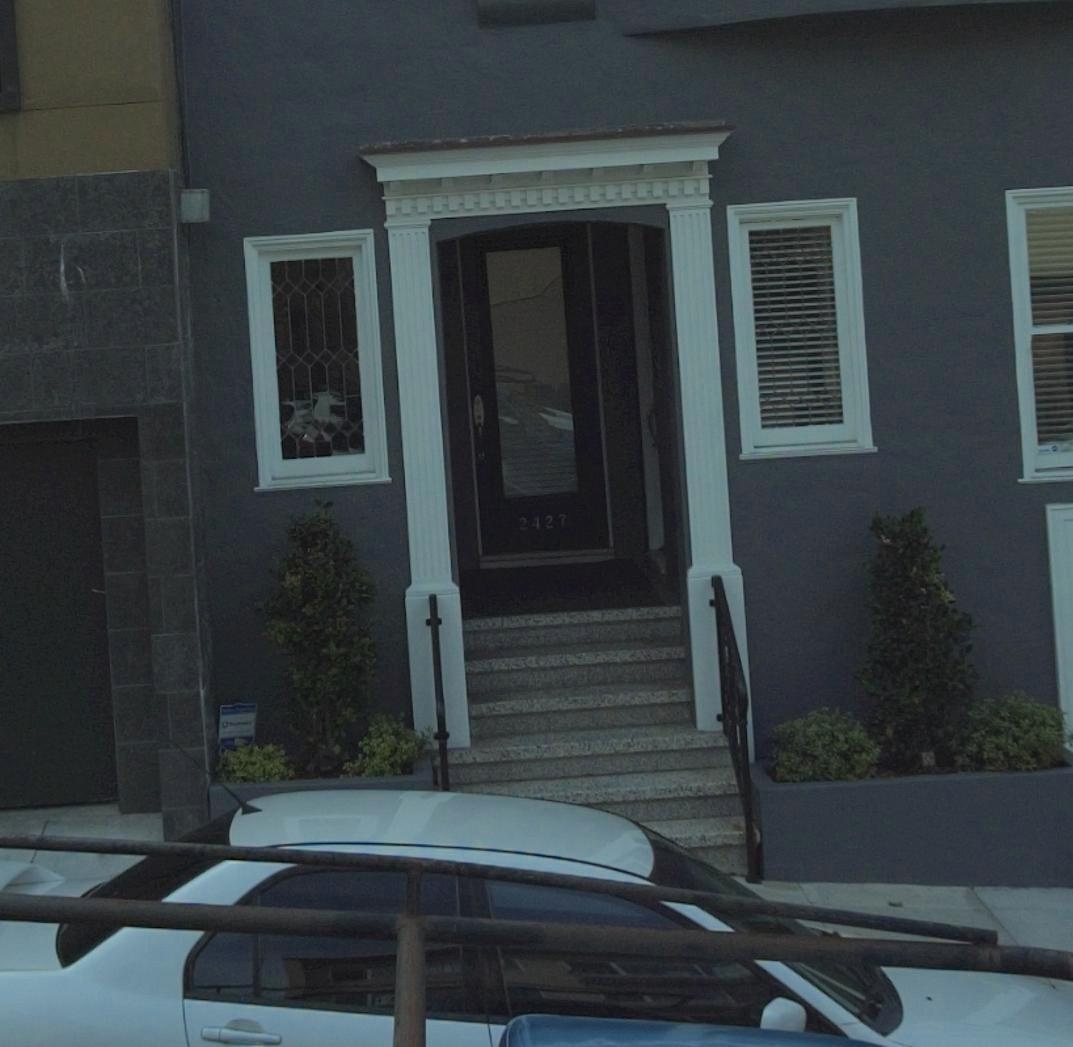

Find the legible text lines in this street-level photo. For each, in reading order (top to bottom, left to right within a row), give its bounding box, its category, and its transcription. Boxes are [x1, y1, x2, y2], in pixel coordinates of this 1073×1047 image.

[514, 510, 570, 535] StreetNumber: 2427